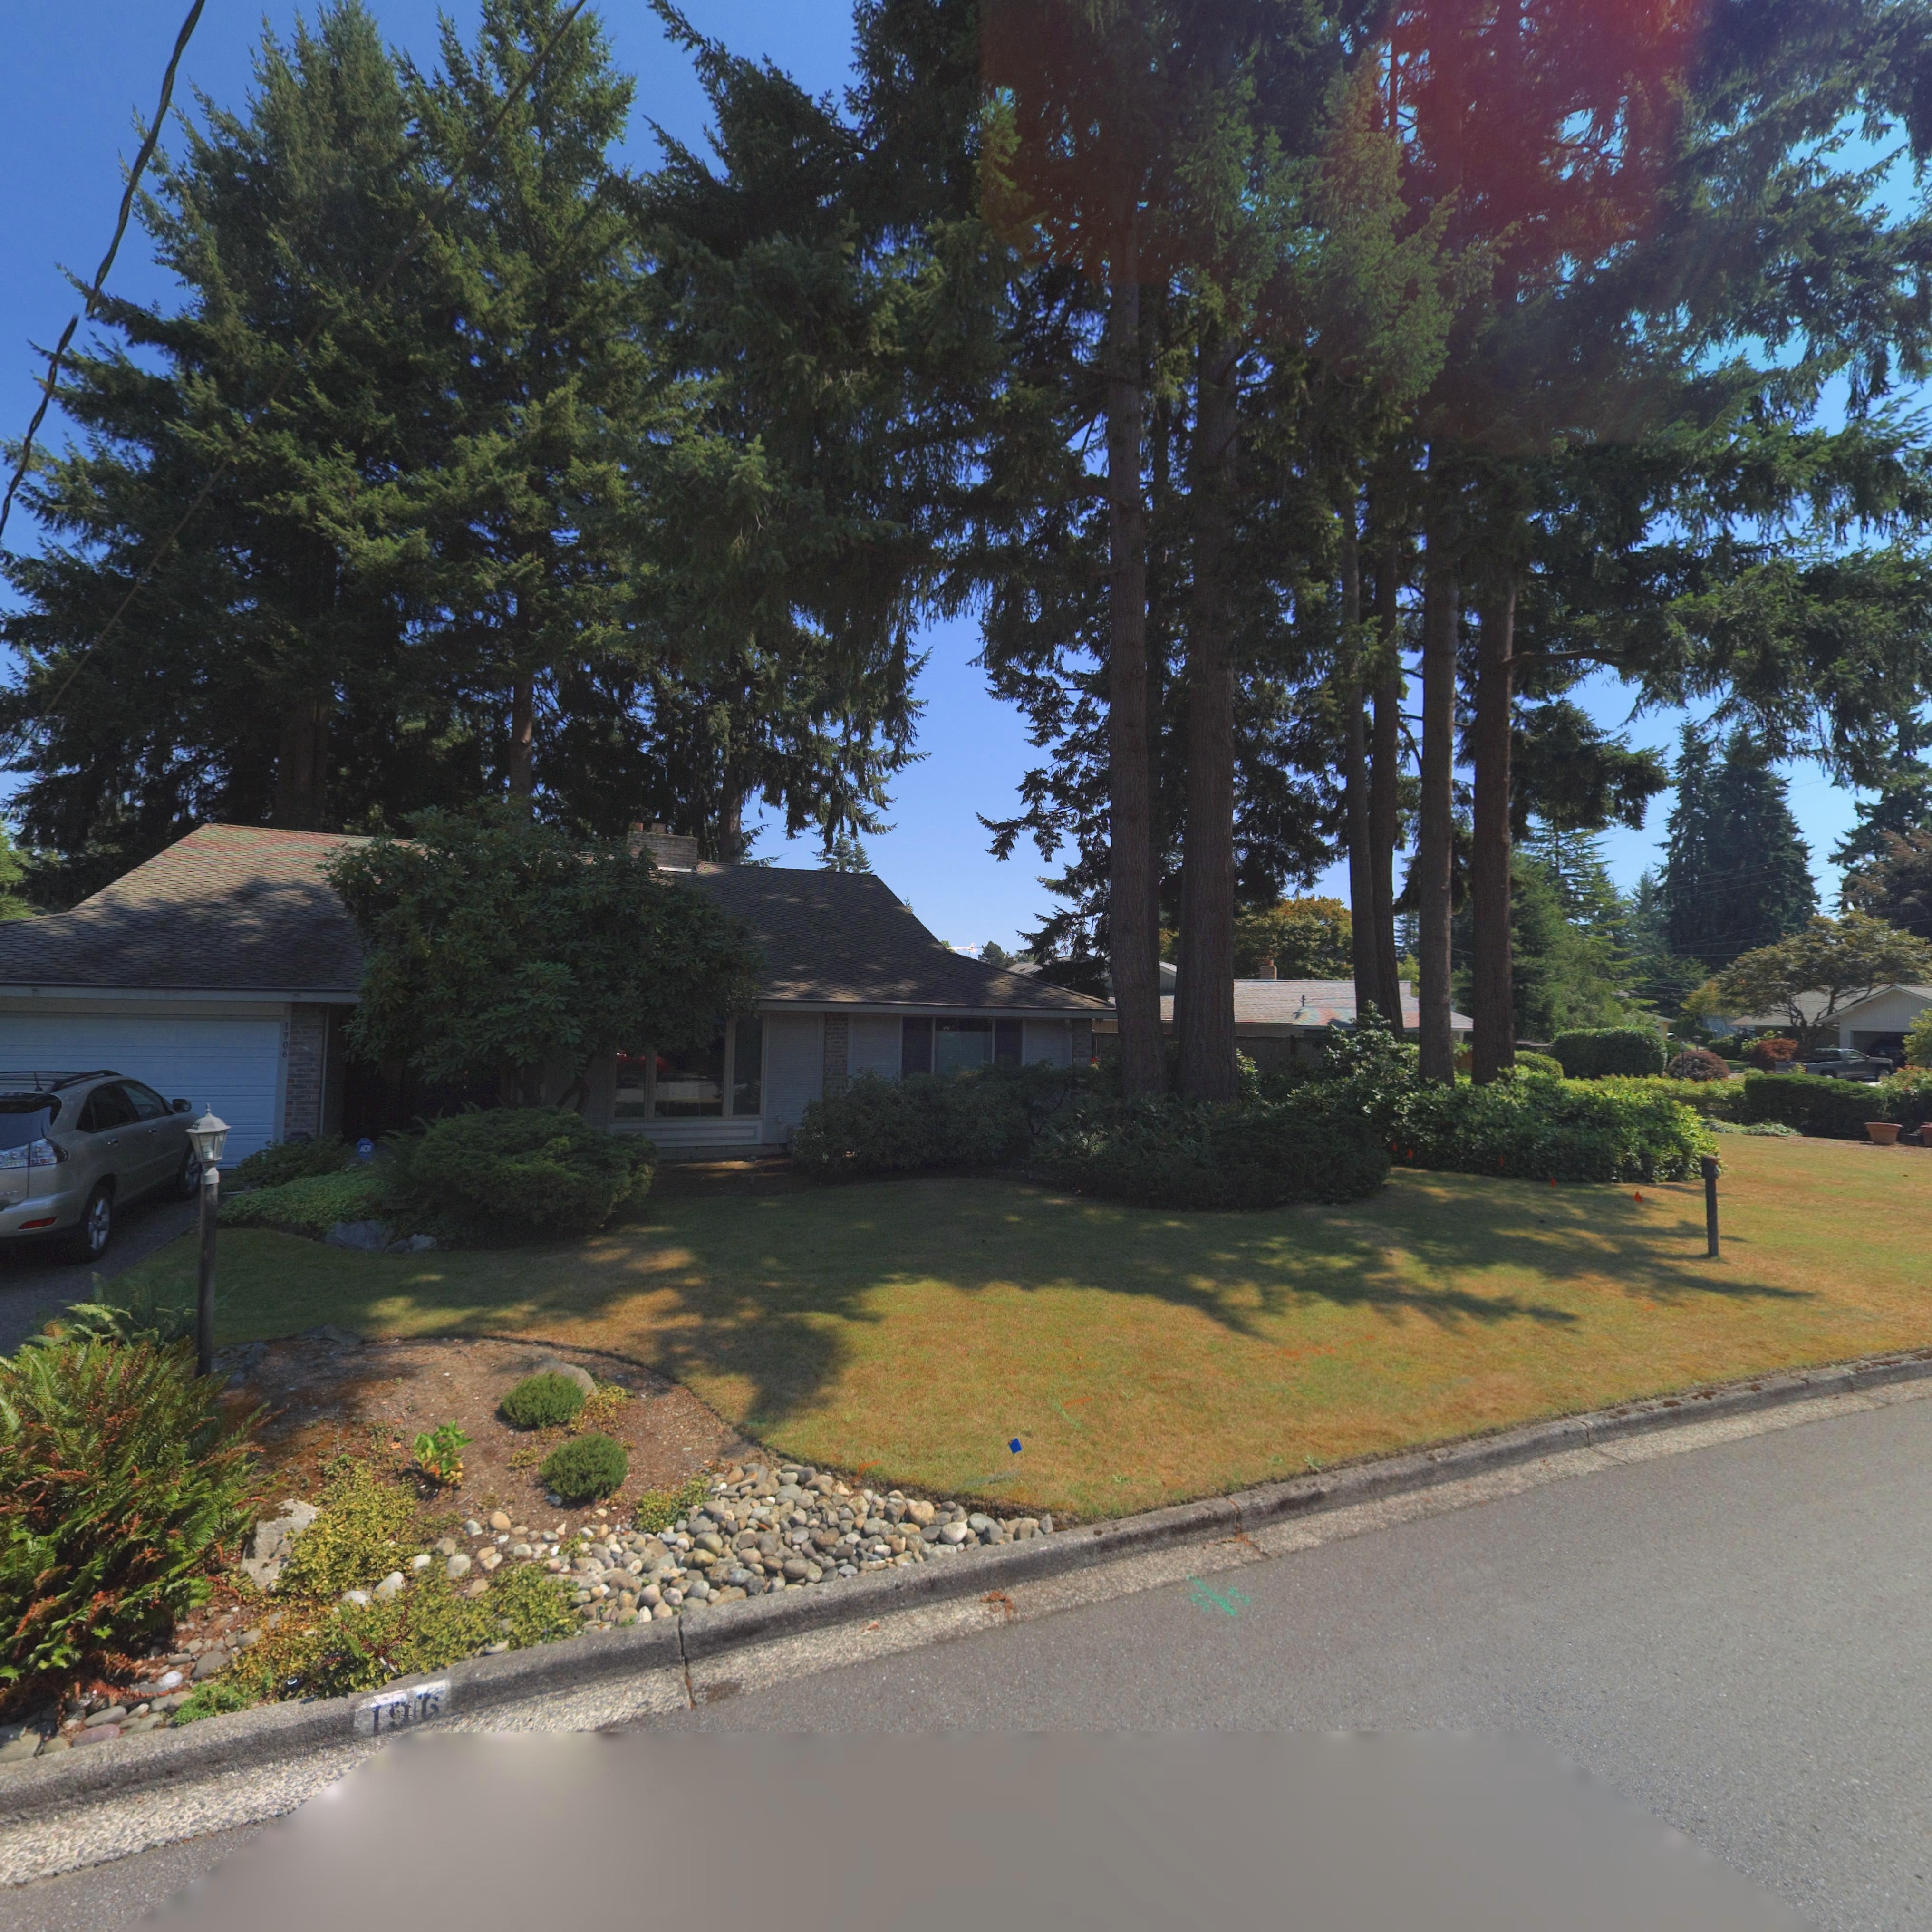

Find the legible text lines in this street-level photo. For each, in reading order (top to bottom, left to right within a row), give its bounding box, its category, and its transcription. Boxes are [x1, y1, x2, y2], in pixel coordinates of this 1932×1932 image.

[282, 1021, 289, 1058] StreetNumber: 1906
[369, 1691, 441, 1735] StreetNumber: 19*6